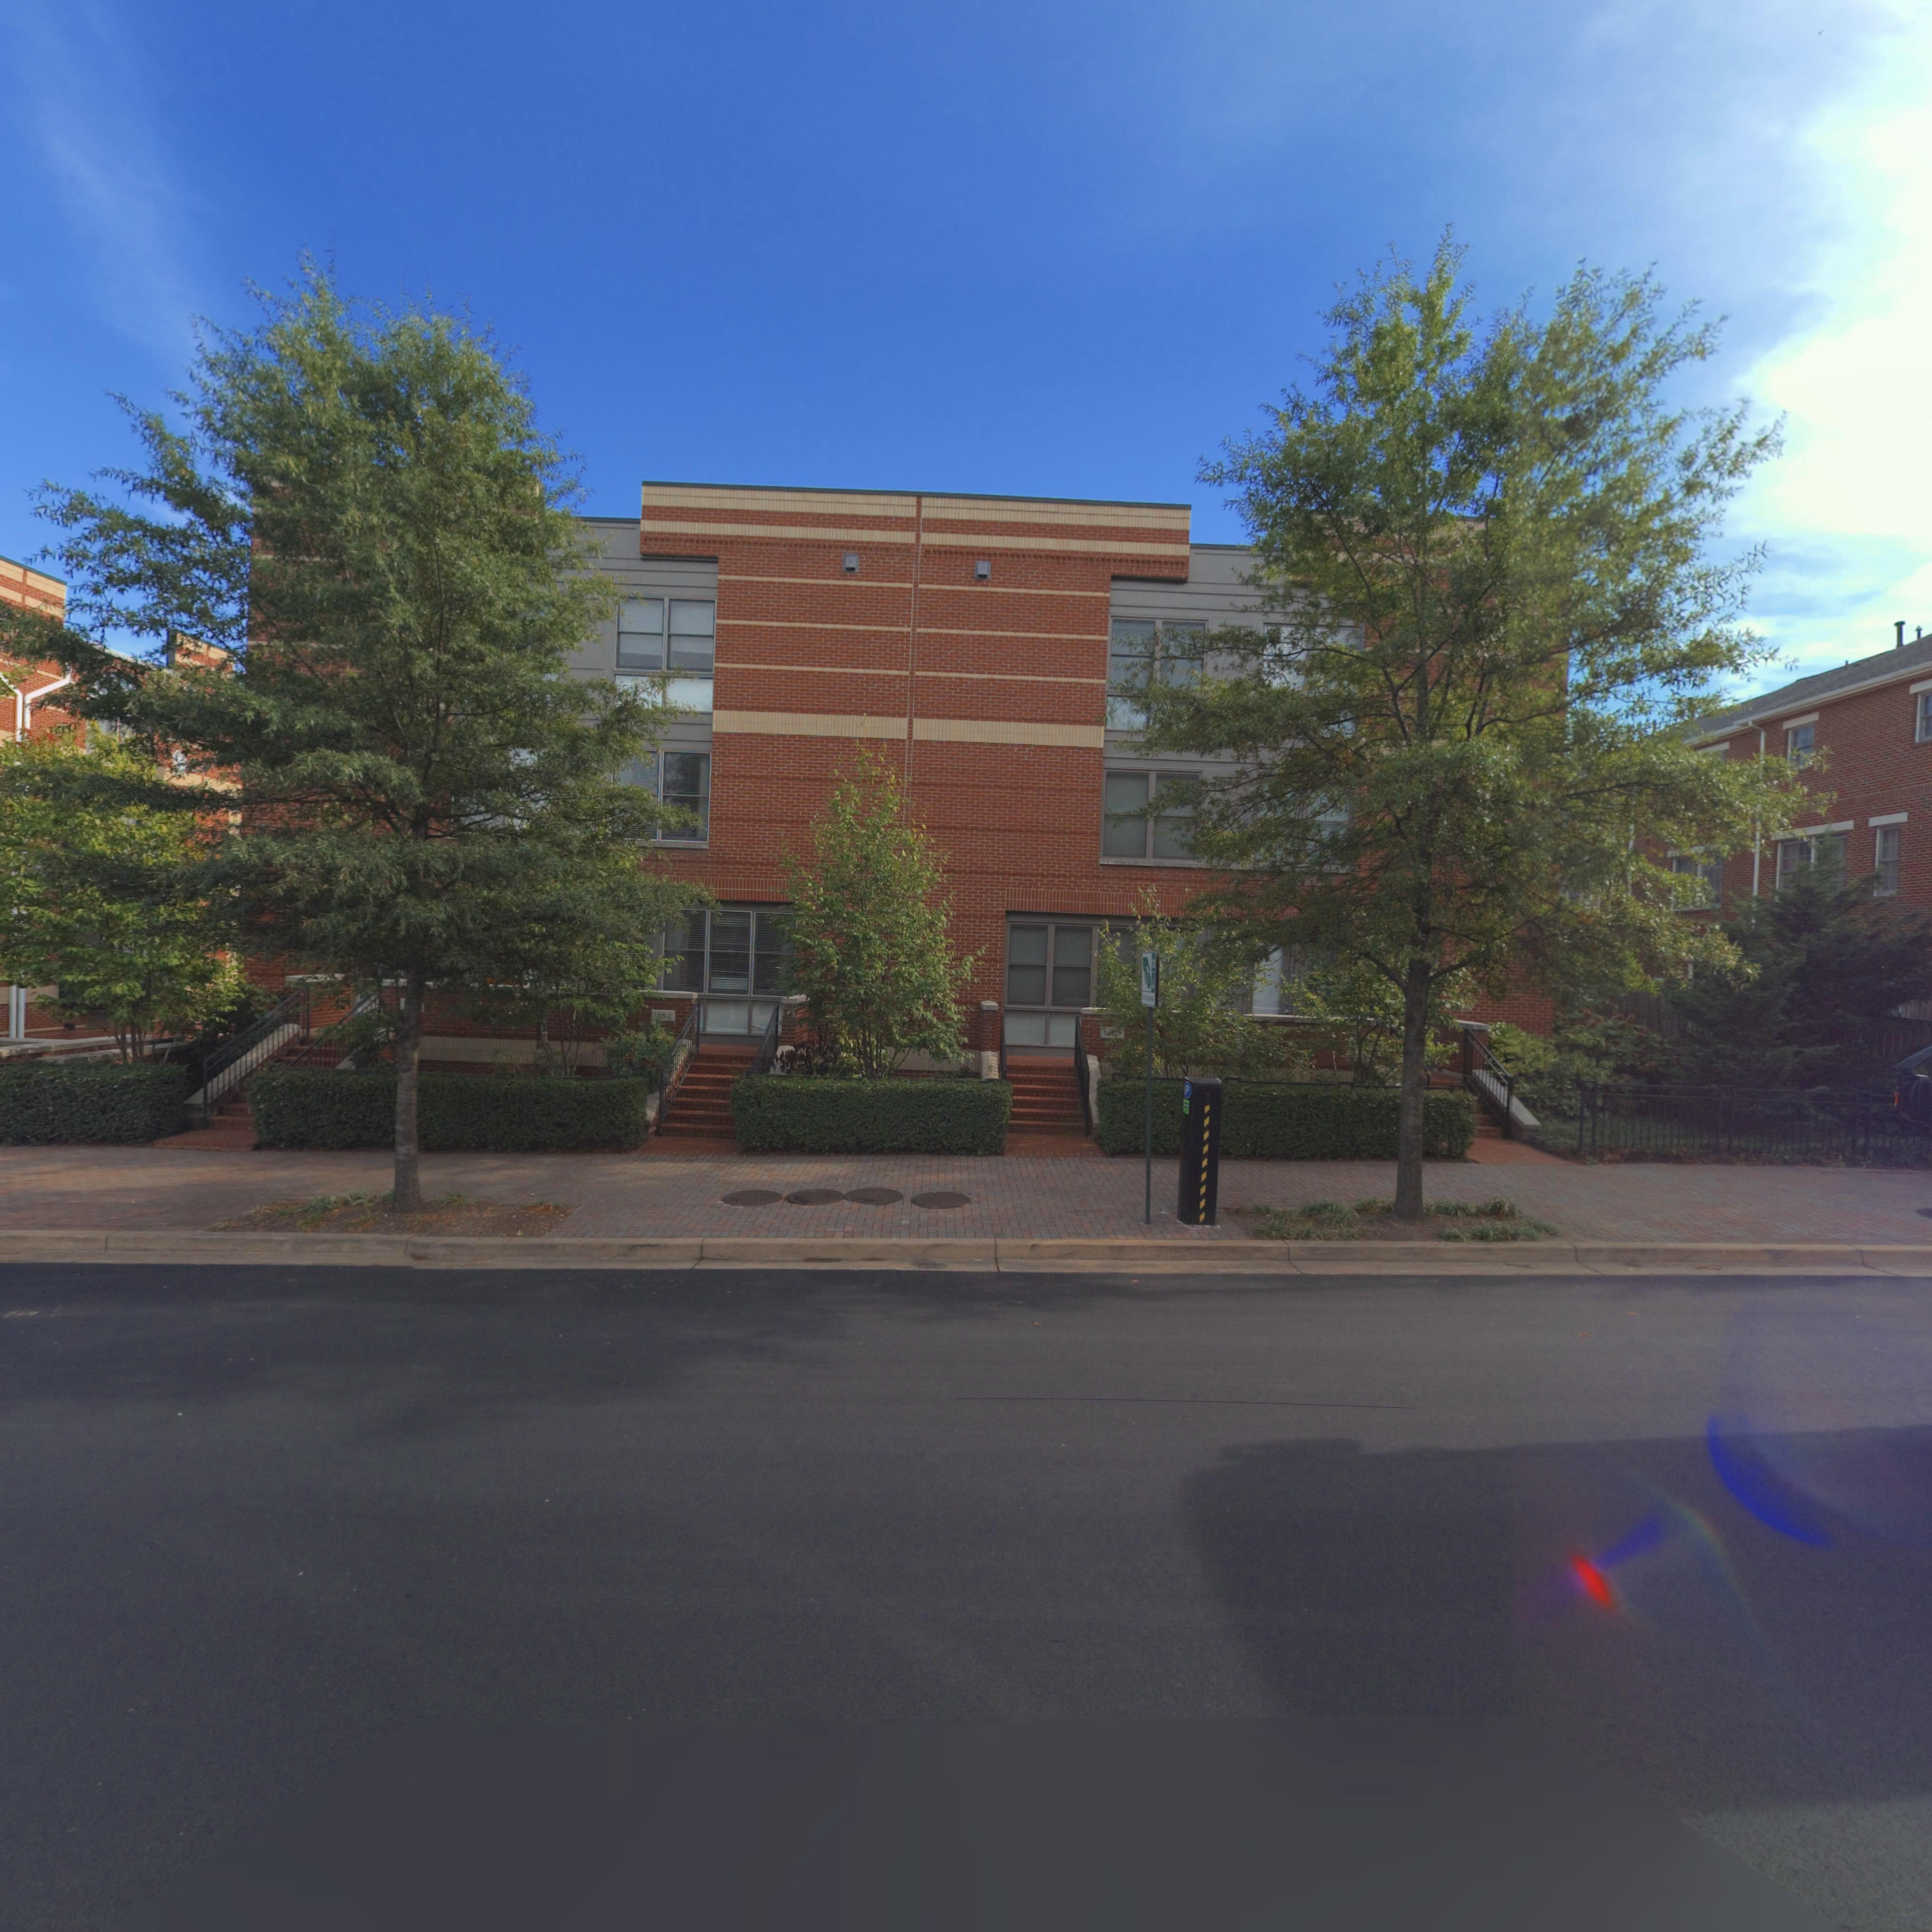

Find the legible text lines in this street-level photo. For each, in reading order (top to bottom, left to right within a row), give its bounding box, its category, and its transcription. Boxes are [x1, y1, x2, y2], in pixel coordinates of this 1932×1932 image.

[653, 1012, 672, 1019] StreetNumber: 1852